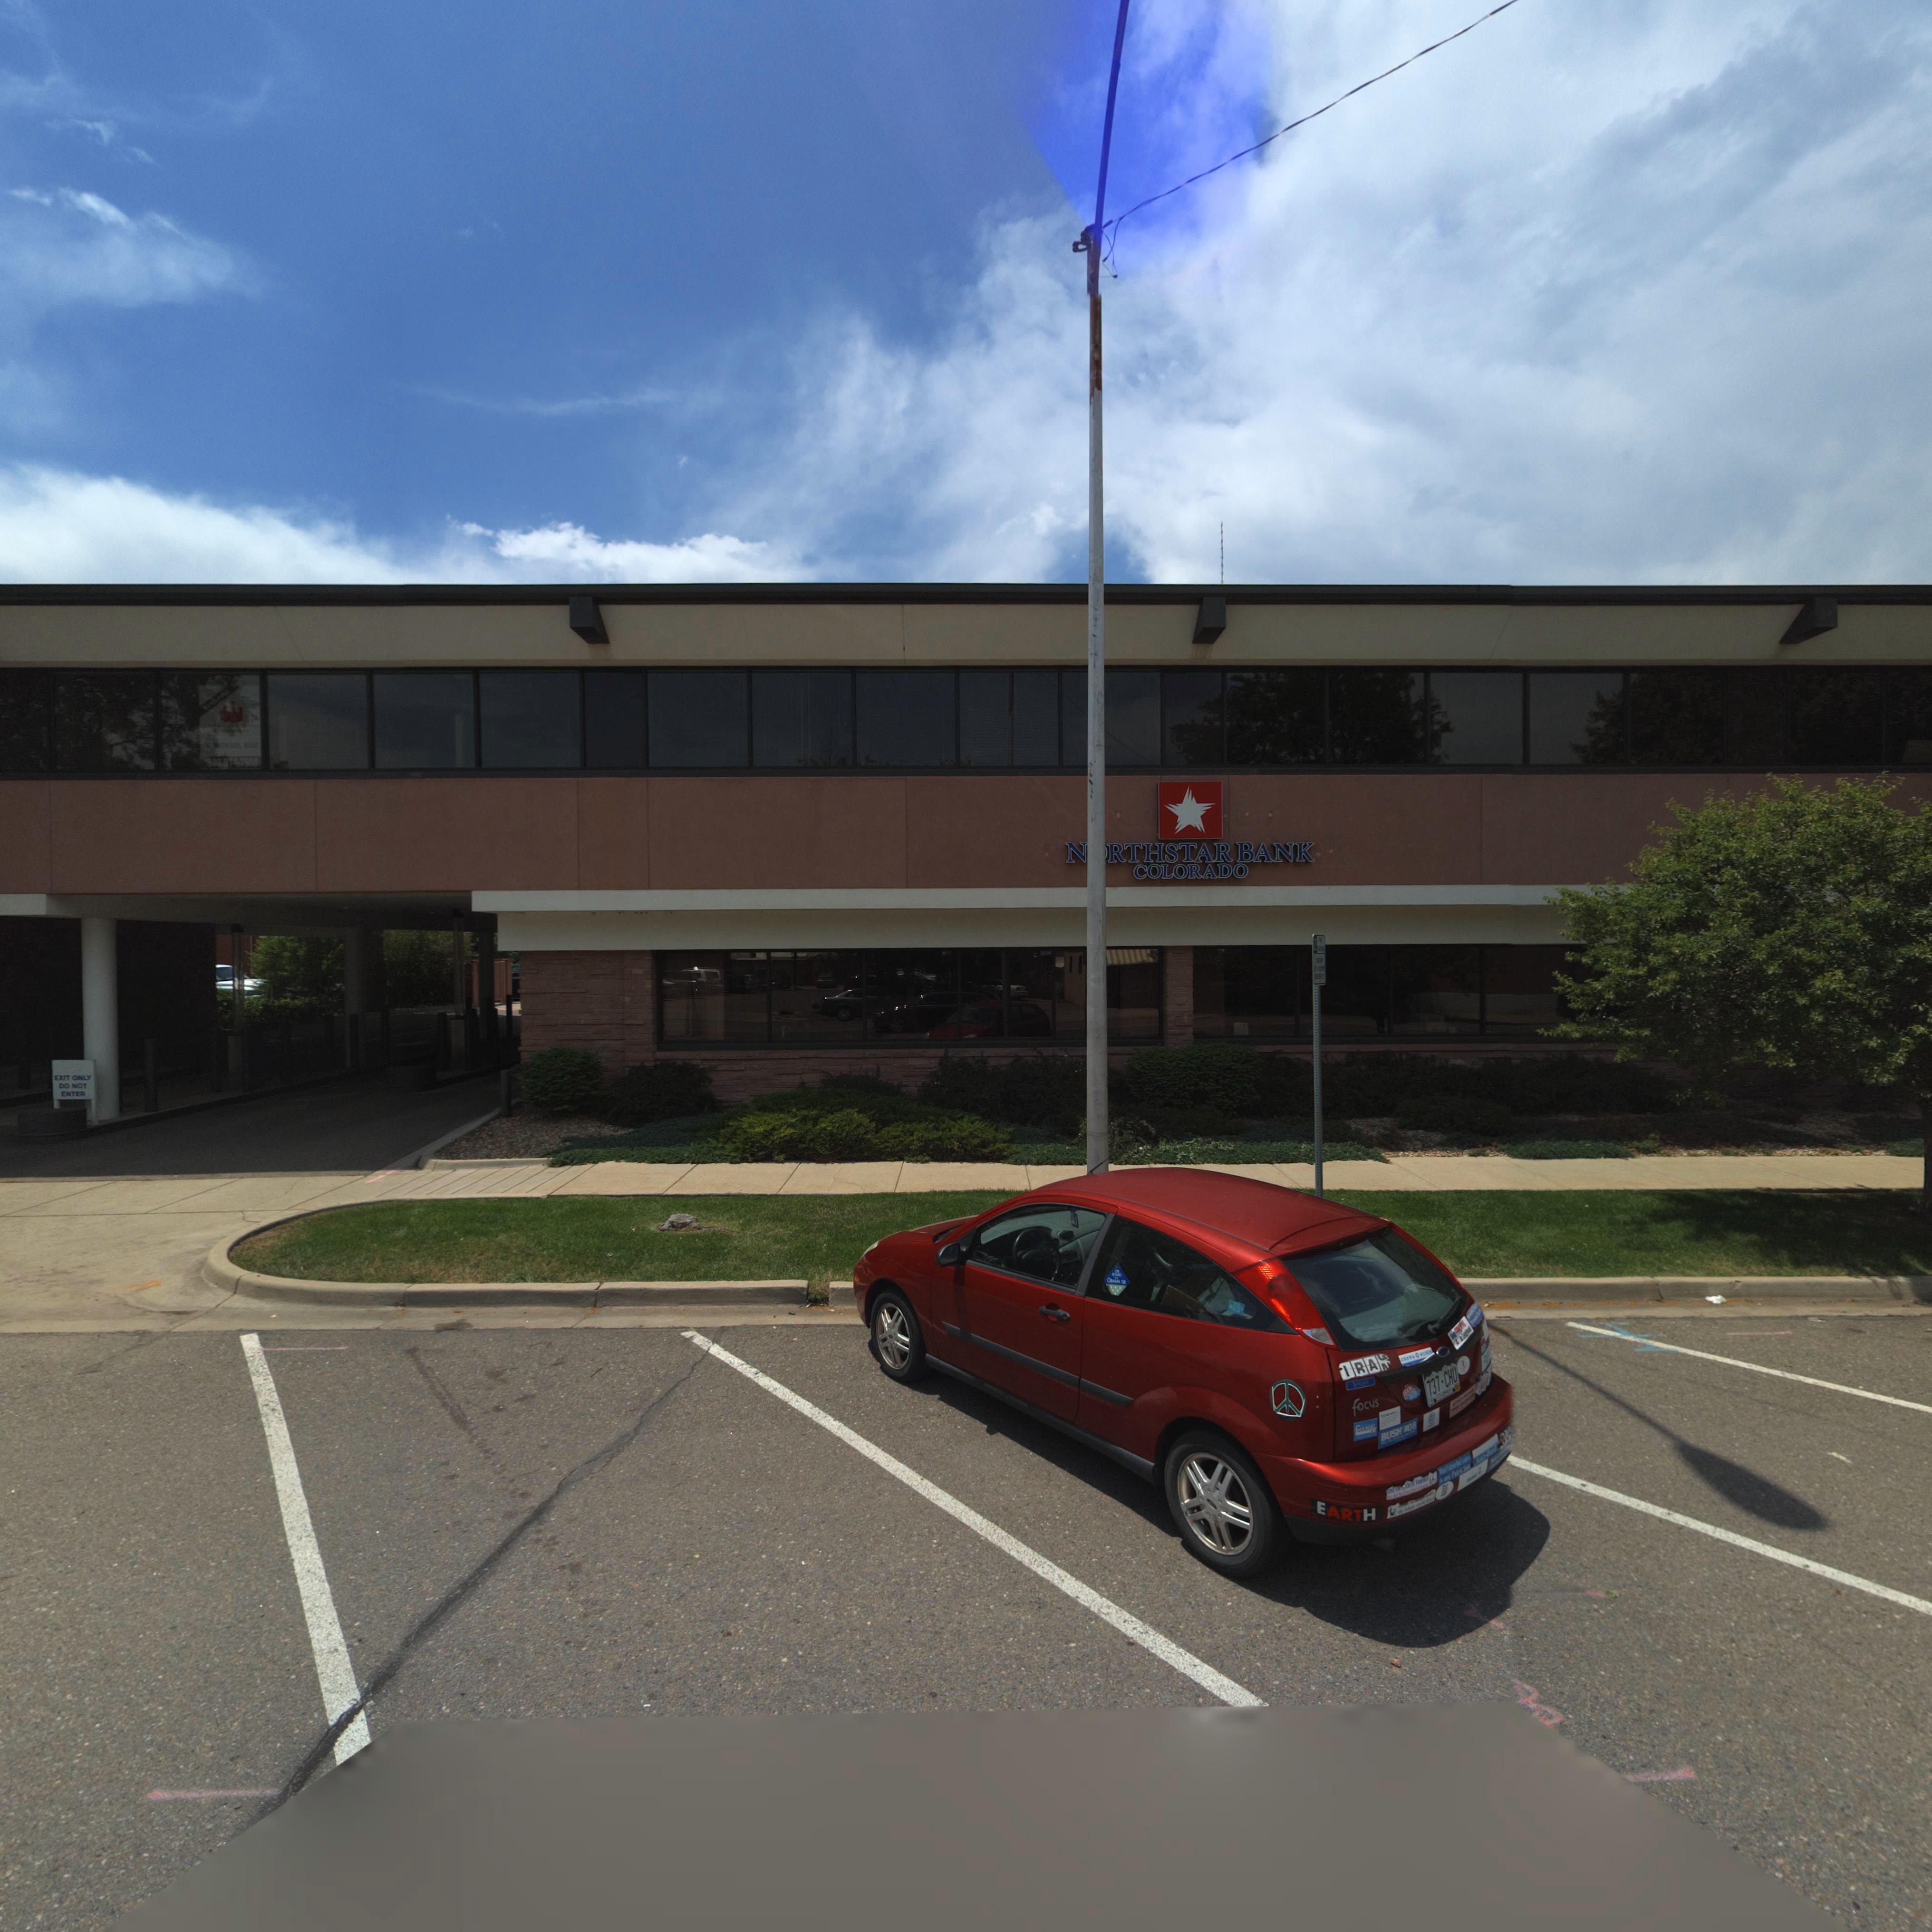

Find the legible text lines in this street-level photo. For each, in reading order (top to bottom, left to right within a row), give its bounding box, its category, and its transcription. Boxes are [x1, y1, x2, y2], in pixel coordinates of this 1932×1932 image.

[1064, 841, 1315, 863] BusinessName: N*RTHSTAR BANK
[1131, 863, 1251, 879] BusinessName: COLORADO